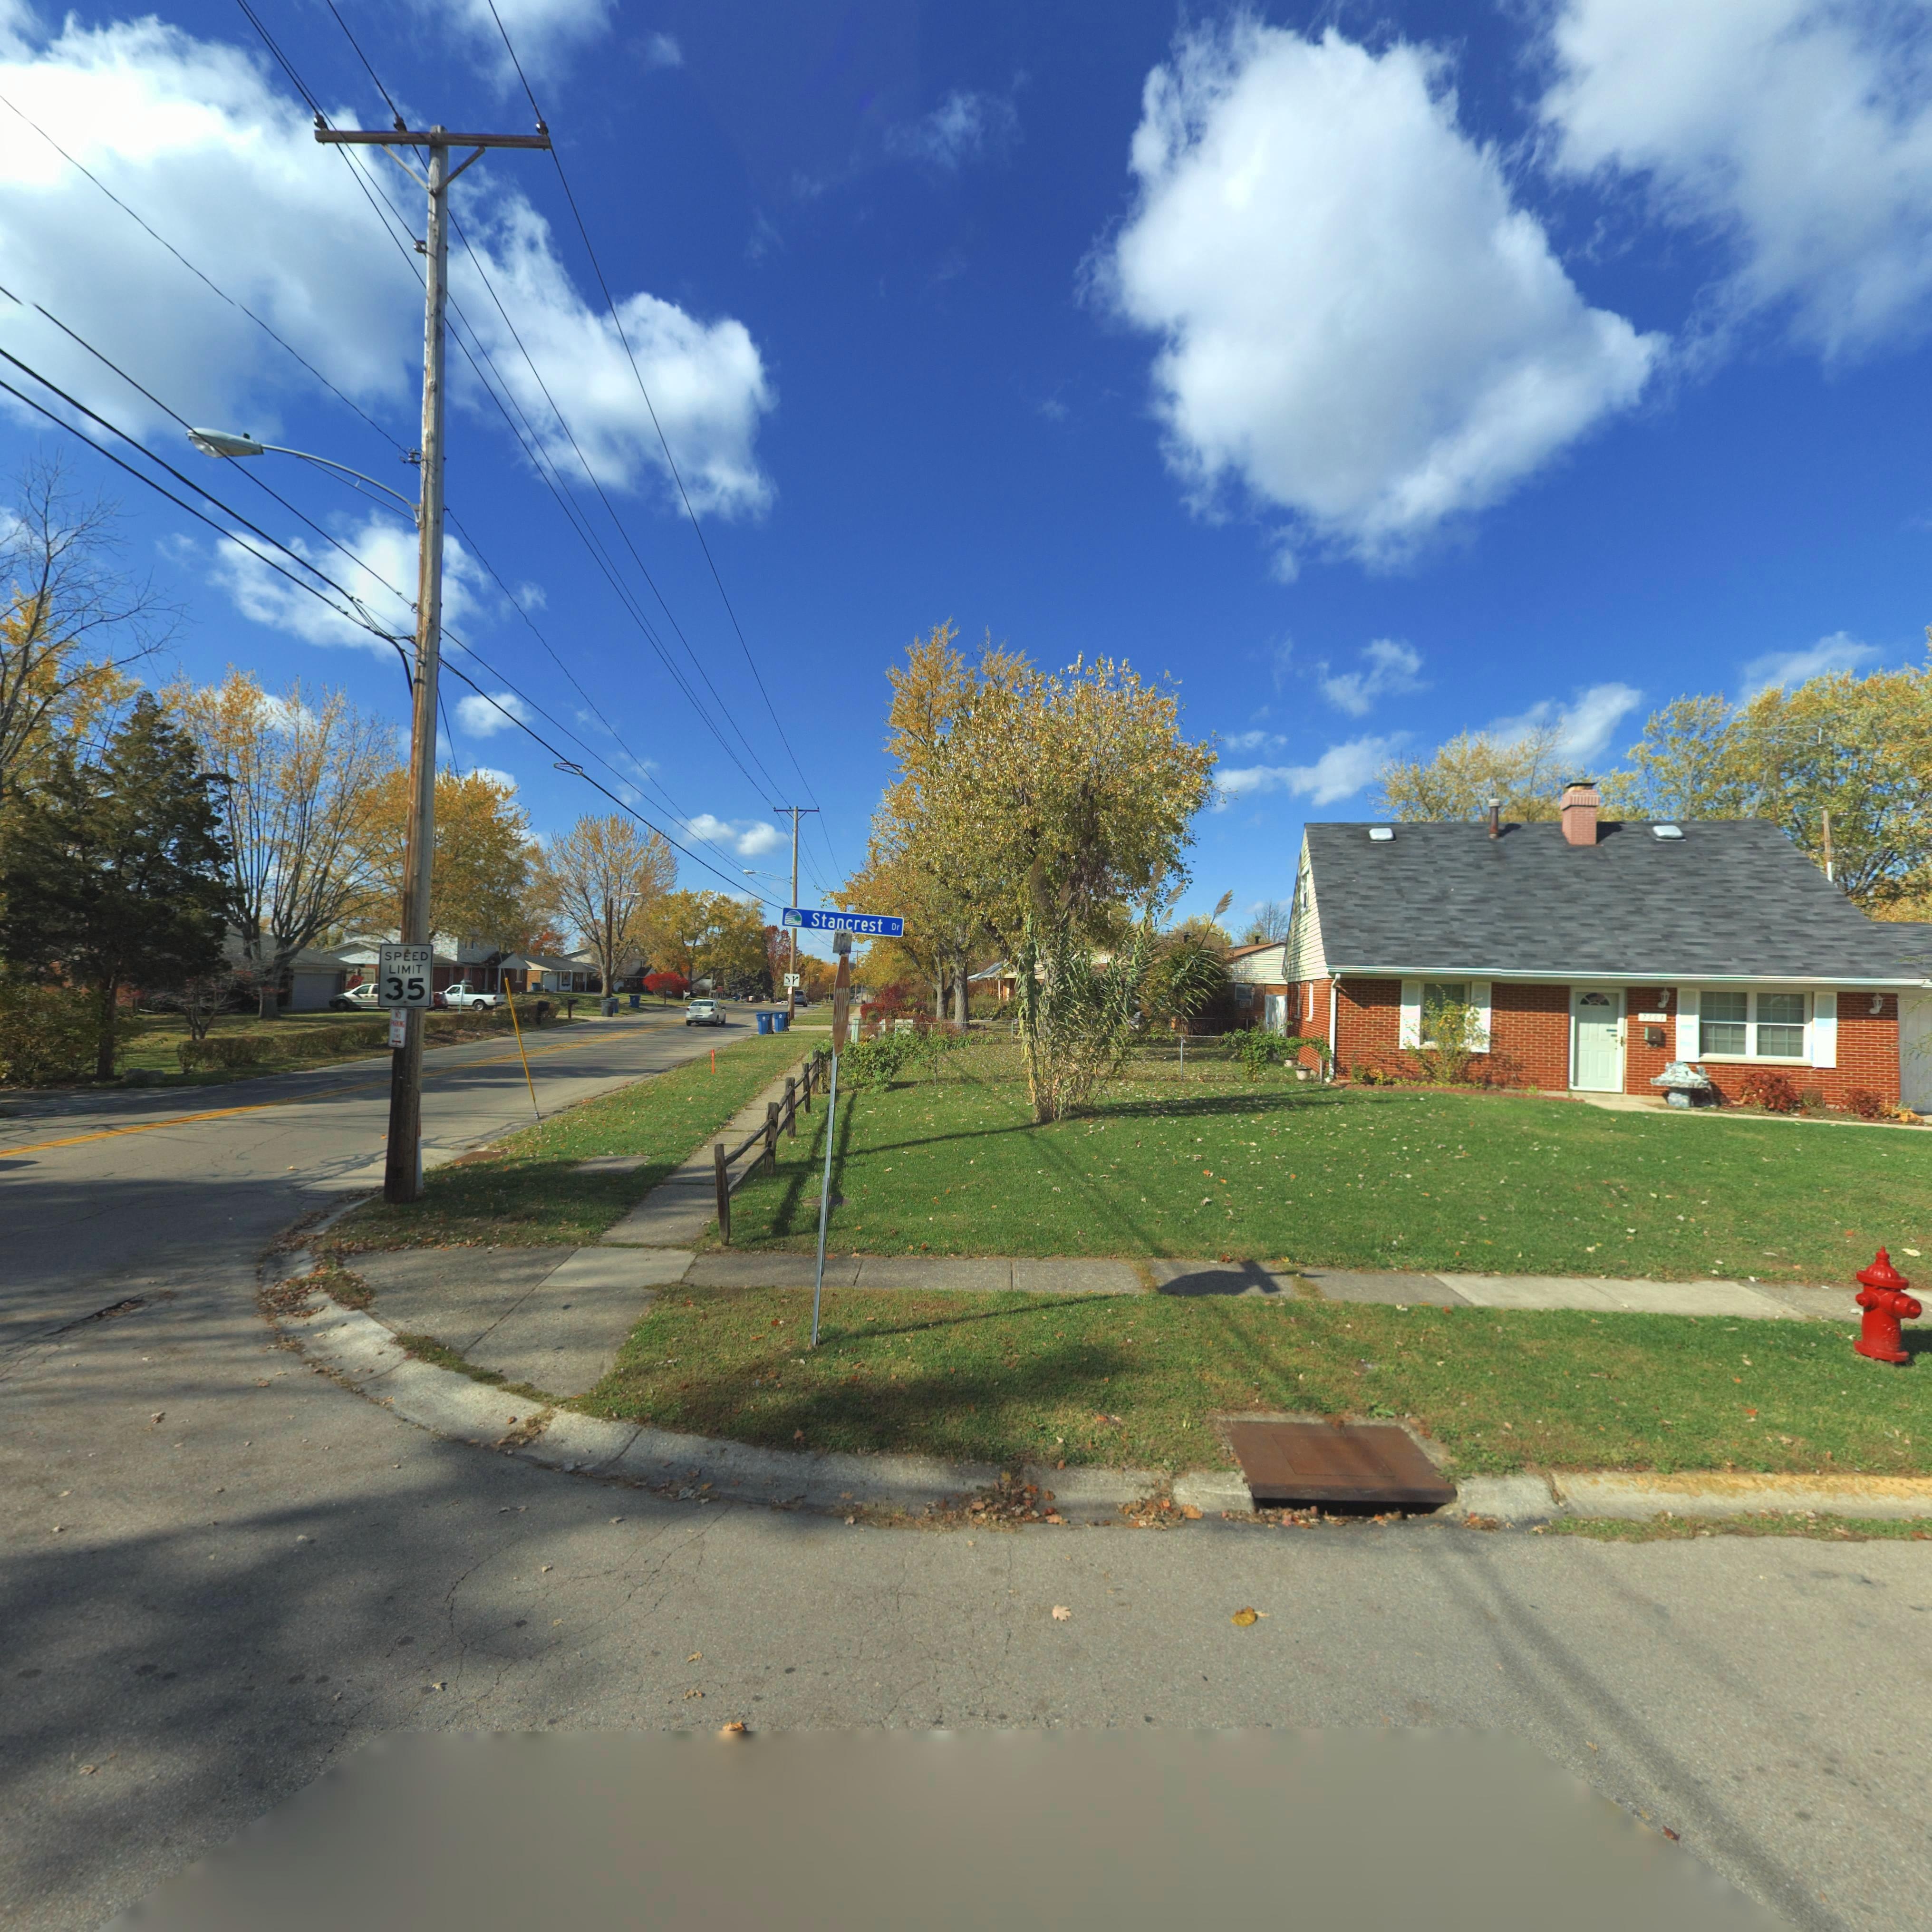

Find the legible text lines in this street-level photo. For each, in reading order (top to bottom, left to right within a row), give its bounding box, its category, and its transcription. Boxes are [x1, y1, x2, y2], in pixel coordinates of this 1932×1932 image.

[809, 911, 901, 934] StreetName: Stancrest Dr
[1642, 1014, 1664, 1021] StreetNumber: 7507